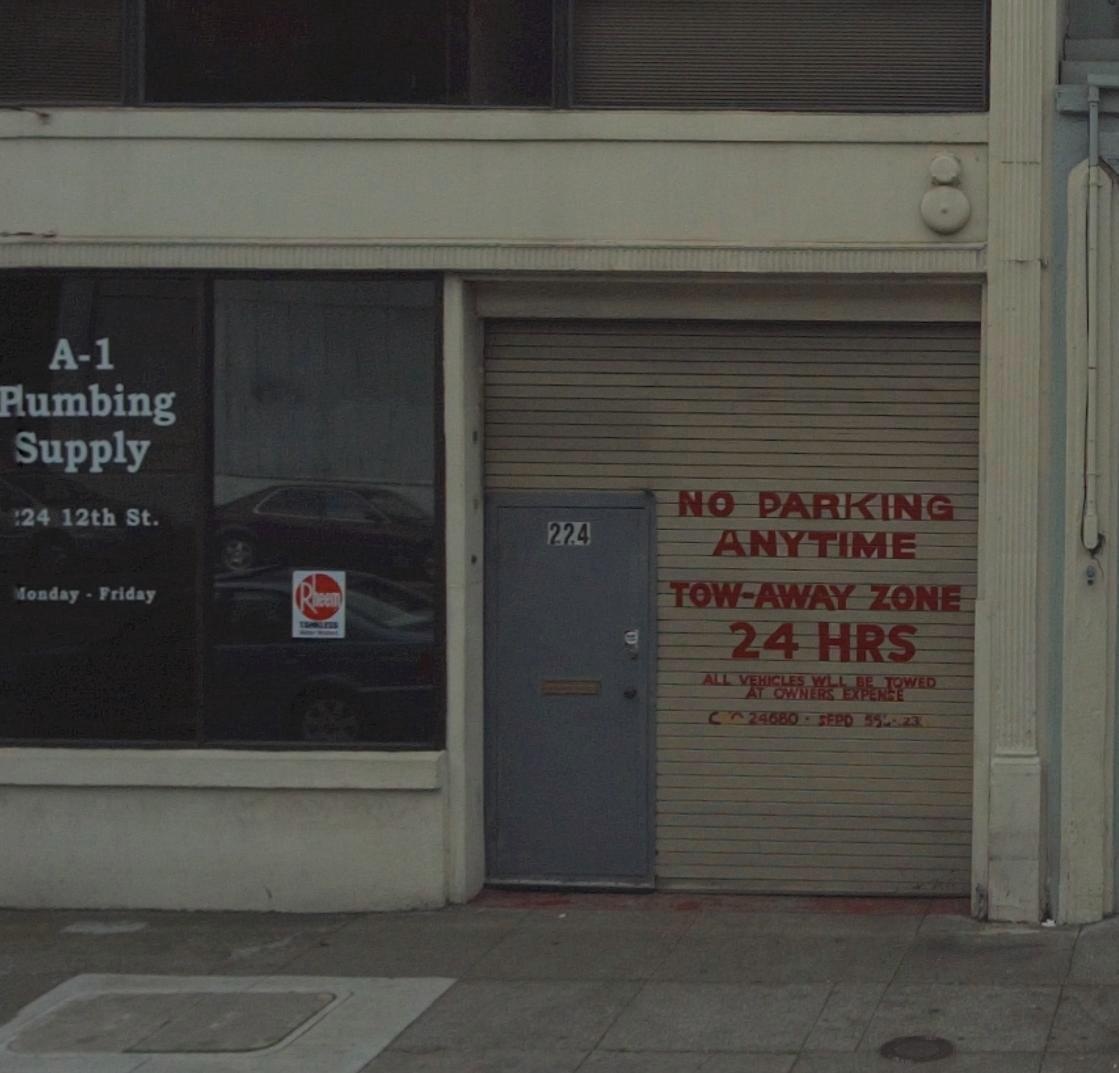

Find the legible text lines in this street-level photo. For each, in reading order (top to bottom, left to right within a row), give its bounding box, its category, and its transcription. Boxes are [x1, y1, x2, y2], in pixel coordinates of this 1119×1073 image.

[46, 335, 117, 372] None: A-1
[0, 381, 179, 429] BusinessName: Plumbing
[12, 428, 154, 476] BusinessName: Supply
[19, 505, 52, 529] StreetNumber: 24
[60, 505, 161, 529] StreetName: 12th St.
[547, 521, 591, 547] StreetNumber: 224
[706, 526, 921, 562] None: ANYTIME
[674, 486, 957, 525] None: NO PARKING
[24, 584, 158, 606] None: onday - Friday
[298, 570, 343, 618] None: Rheem
[665, 576, 964, 615] None: TOW-AWAY ZONE
[725, 618, 923, 666] None: 24 HRS
[699, 669, 940, 690] None: ALL VEHICLES WLL BE TOWED
[742, 684, 907, 704] None: AT OWNERS EXPENSE
[744, 707, 885, 731] None: 24680 * SFPD 55